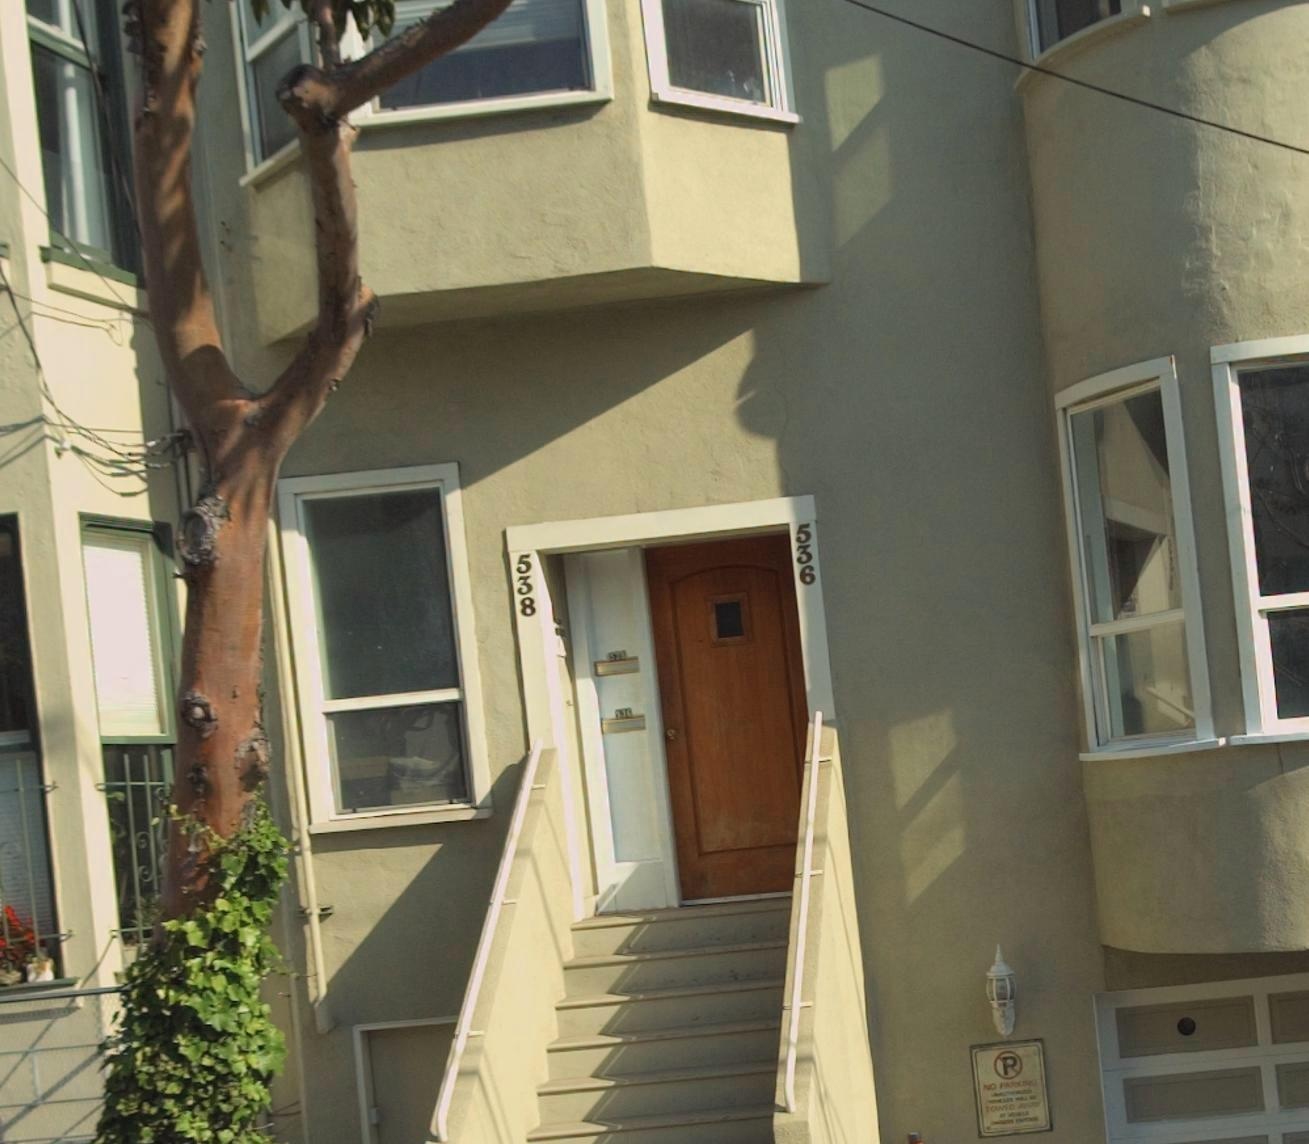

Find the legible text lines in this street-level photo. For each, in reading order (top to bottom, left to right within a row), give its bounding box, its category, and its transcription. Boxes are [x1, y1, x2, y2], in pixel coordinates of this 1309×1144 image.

[512, 550, 539, 620] StreetNumber: 538
[793, 518, 818, 587] StreetNumber: 536
[996, 1052, 1017, 1076] None: P
[981, 1077, 1039, 1094] None: NO PARKING